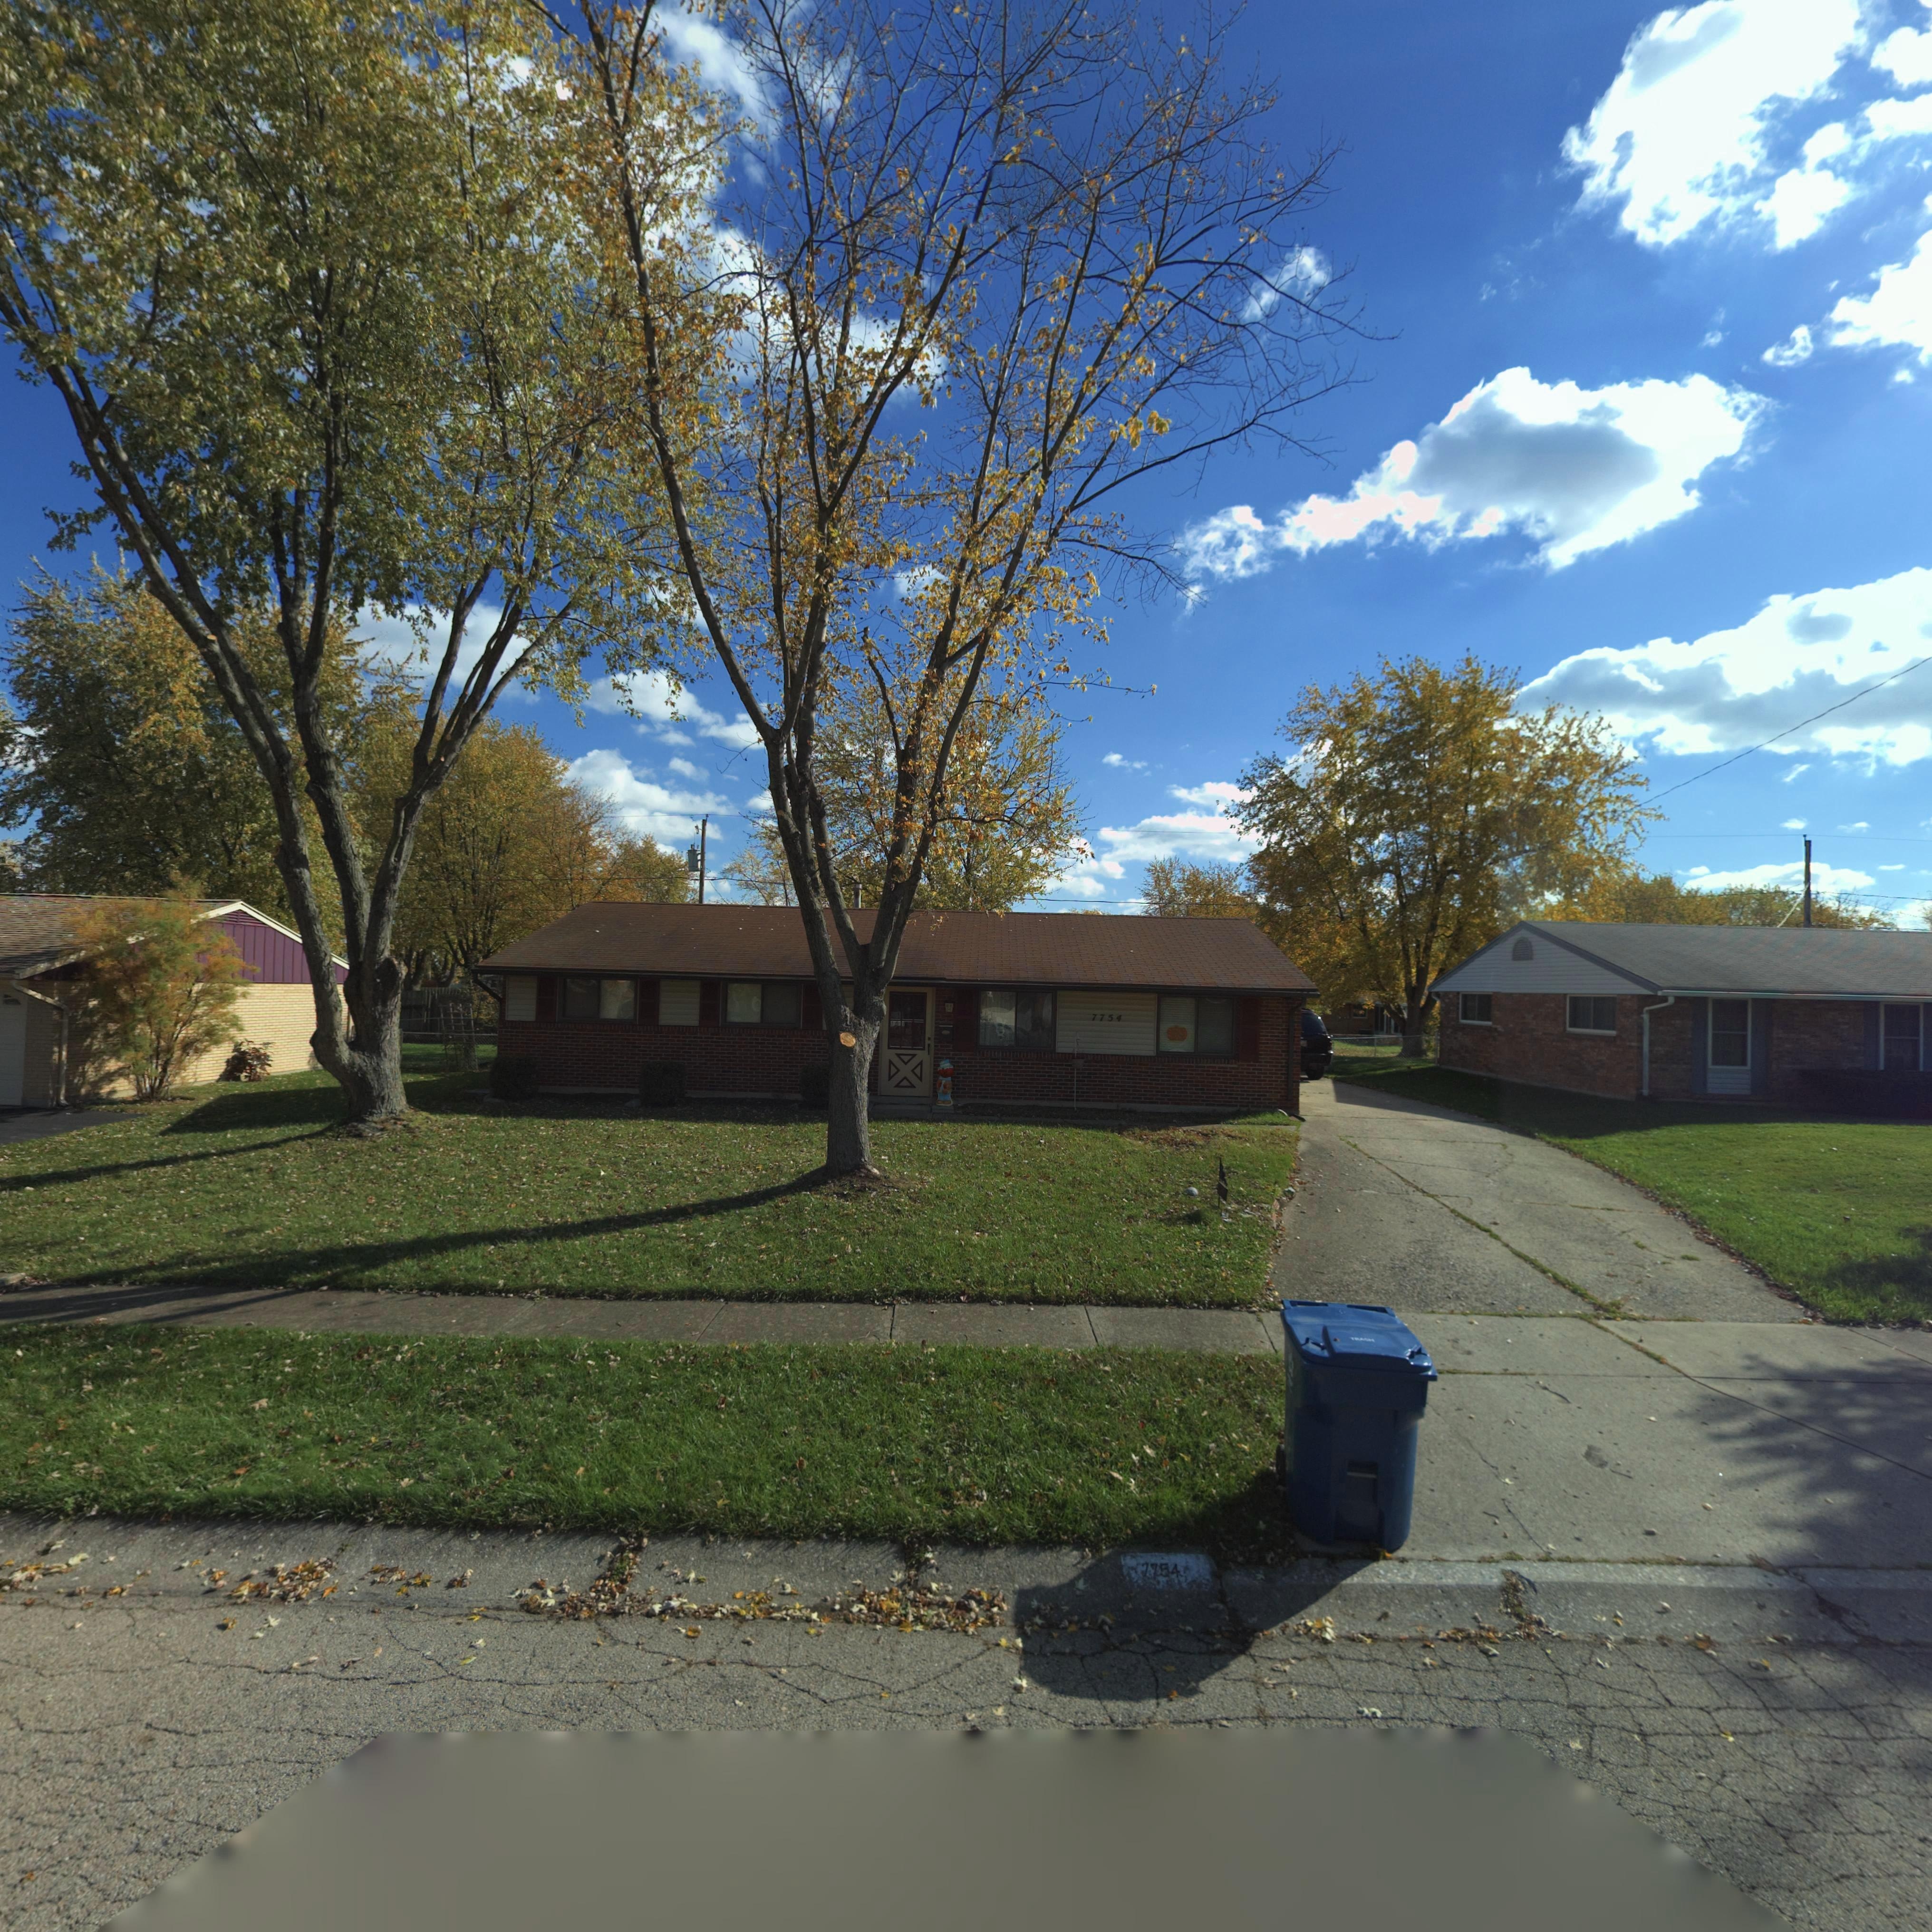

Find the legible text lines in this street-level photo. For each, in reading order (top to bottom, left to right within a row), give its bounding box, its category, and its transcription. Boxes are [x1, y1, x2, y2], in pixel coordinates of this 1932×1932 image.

[1091, 1013, 1123, 1023] StreetNumber: 7754
[1140, 1561, 1182, 1580] StreetNumber: 7754